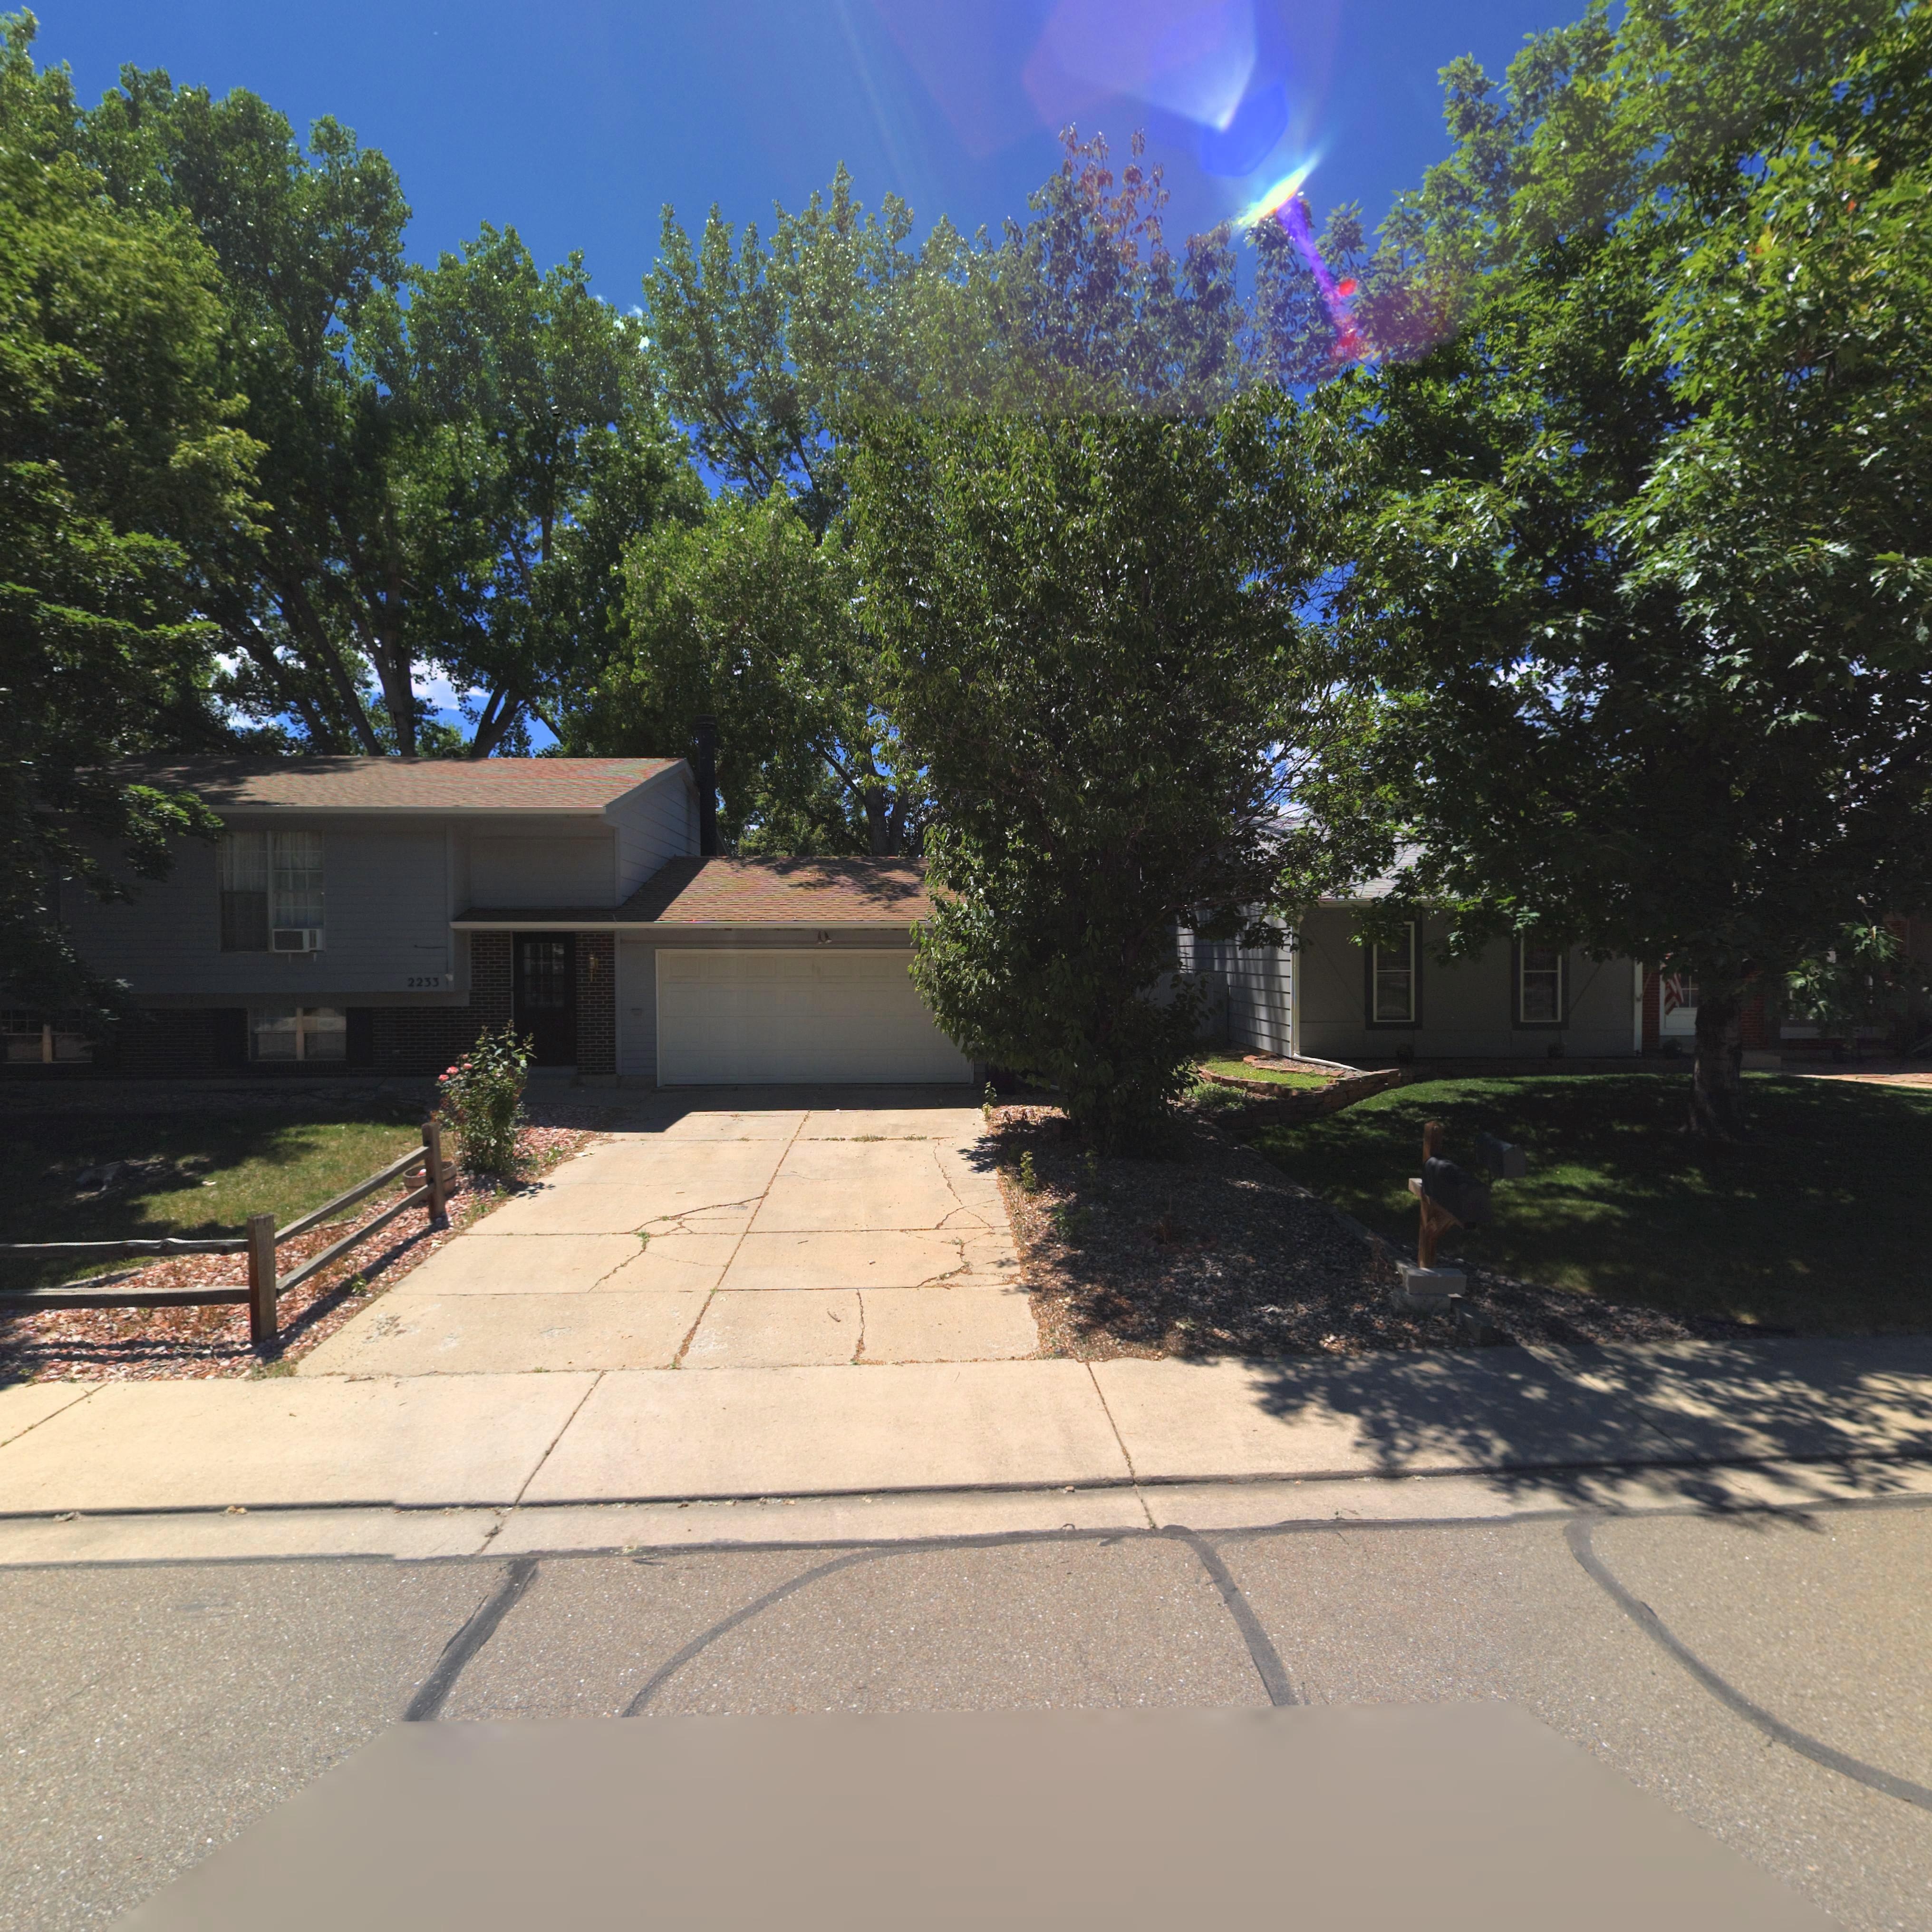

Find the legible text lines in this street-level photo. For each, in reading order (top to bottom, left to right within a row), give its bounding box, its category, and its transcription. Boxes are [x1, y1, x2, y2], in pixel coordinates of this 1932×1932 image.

[407, 976, 439, 987] StreetNumber: 2233